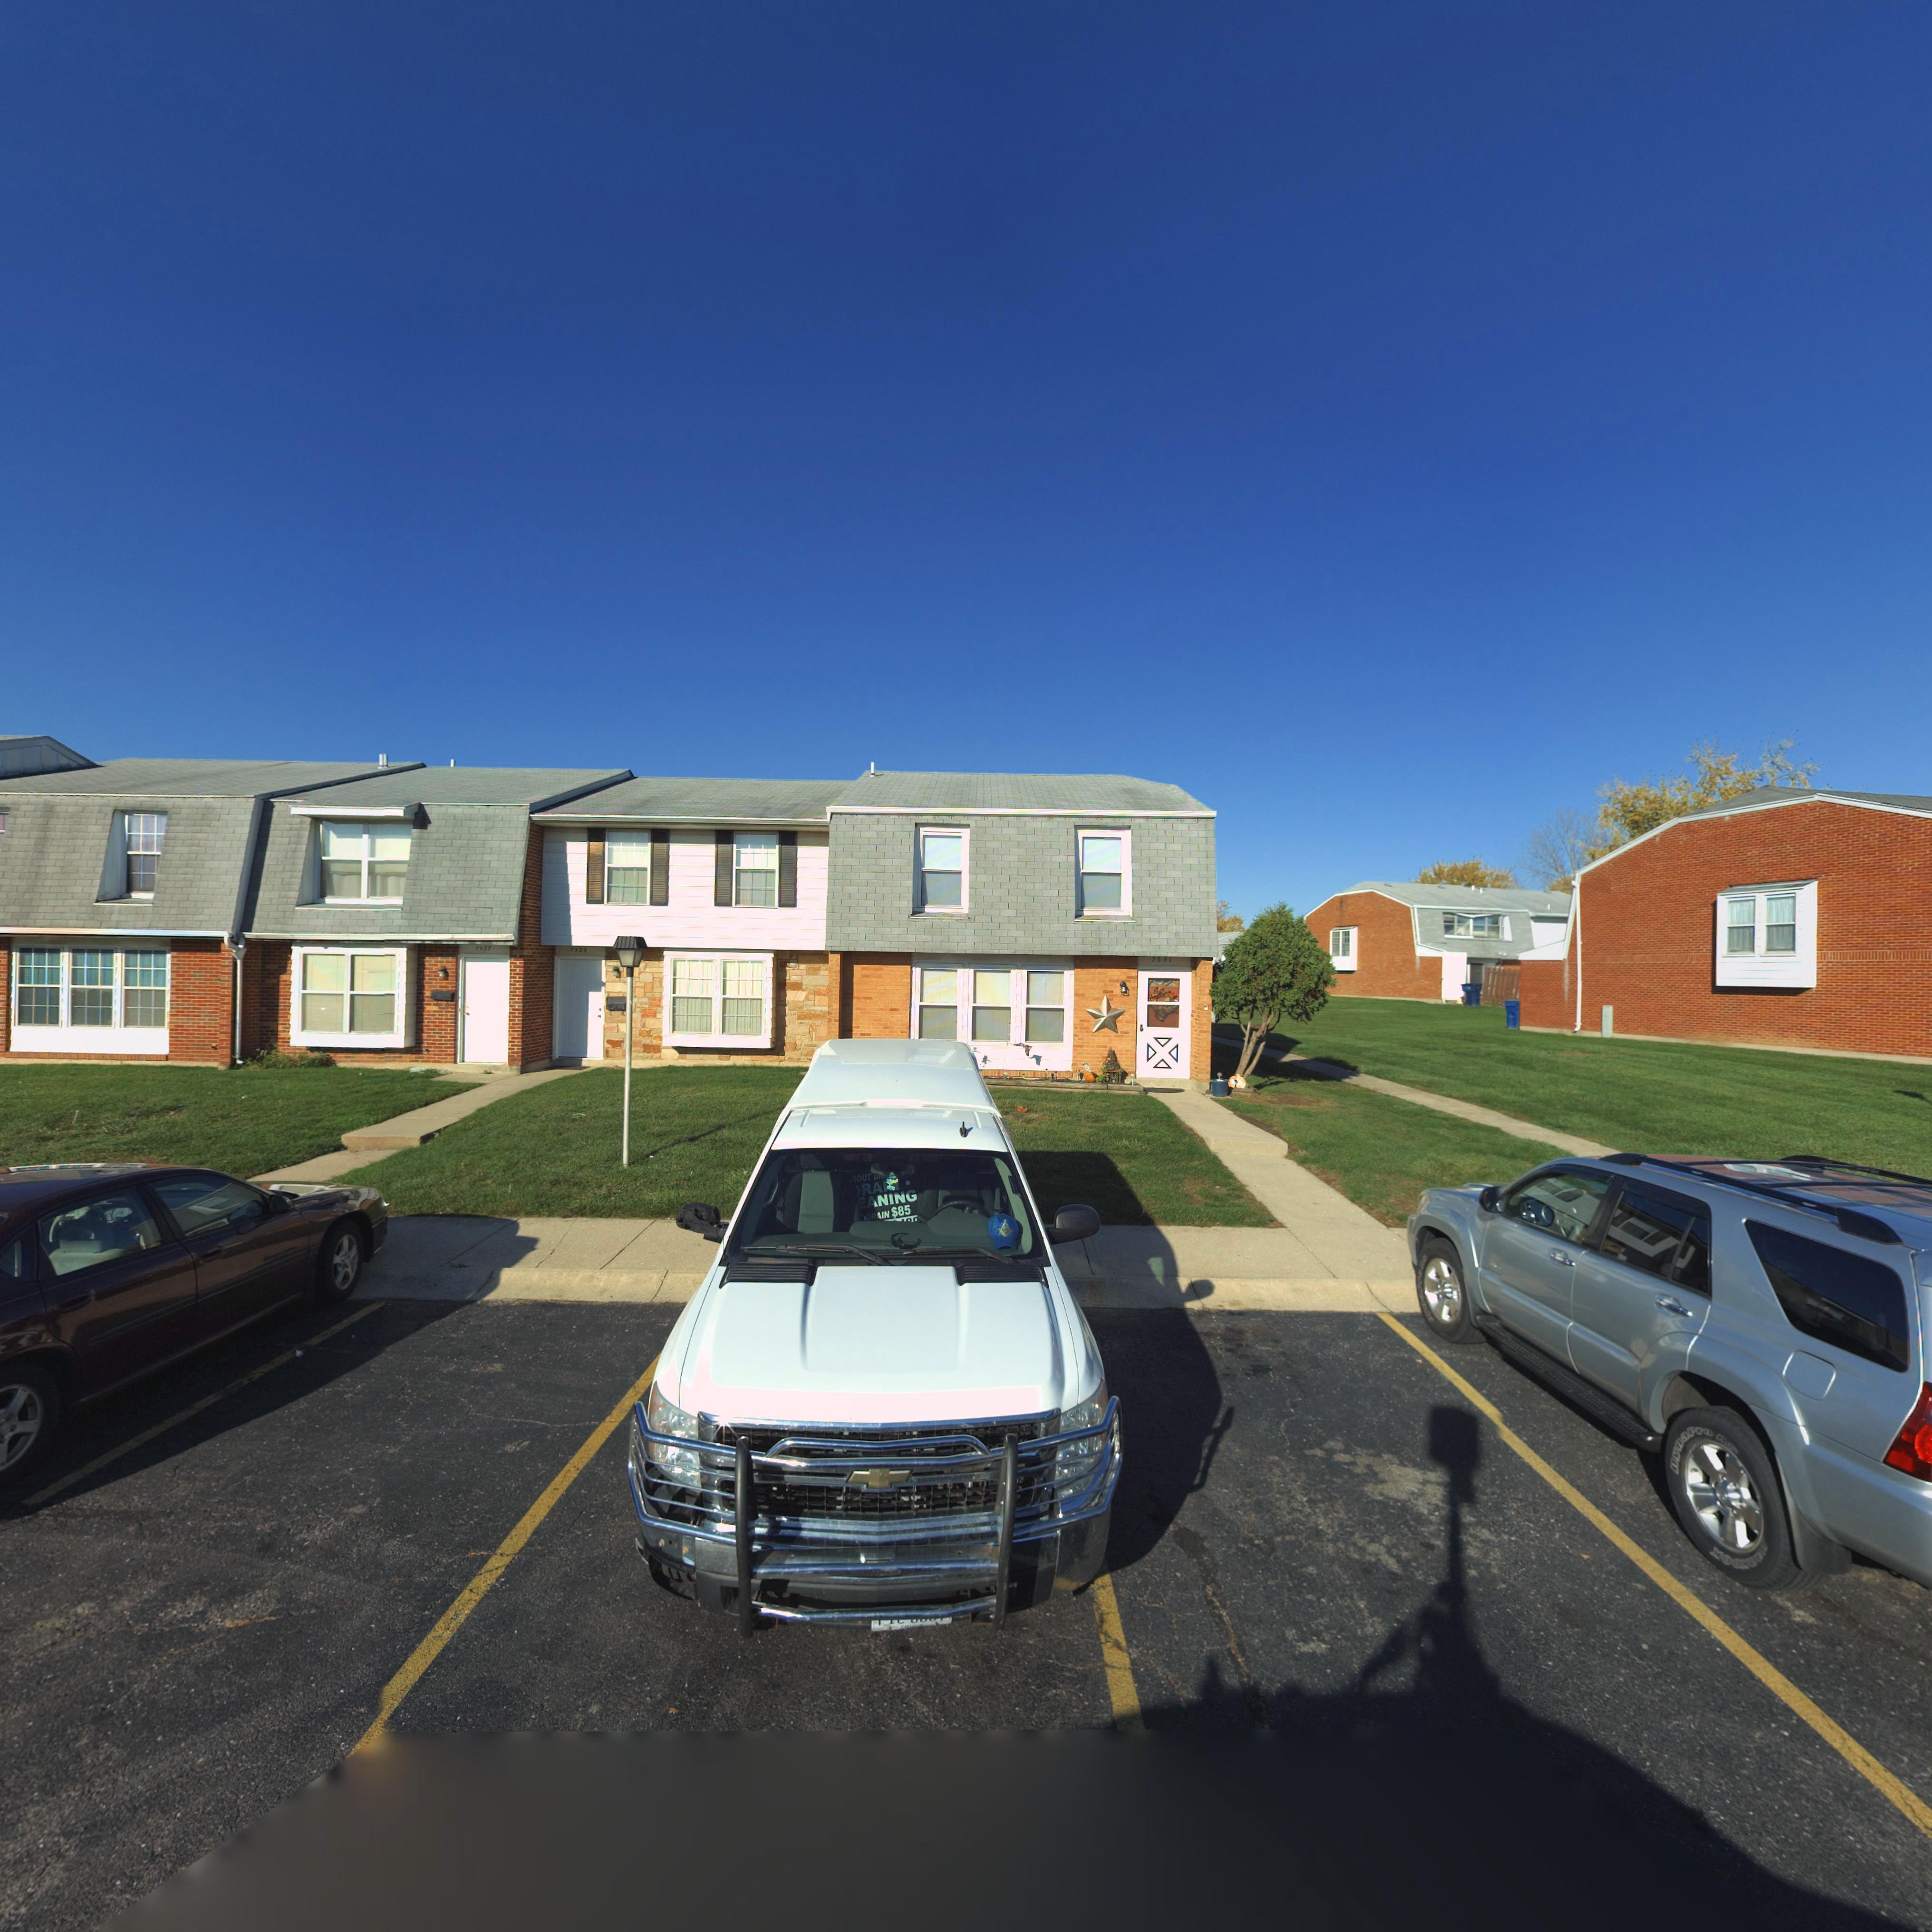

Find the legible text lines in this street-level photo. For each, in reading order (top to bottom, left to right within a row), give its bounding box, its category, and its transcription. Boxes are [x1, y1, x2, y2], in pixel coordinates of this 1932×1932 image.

[474, 946, 493, 951] StreetNumber: 7527
[570, 947, 588, 953] StreetNumber: 7529
[1151, 956, 1172, 963] StreetNumber: 7531